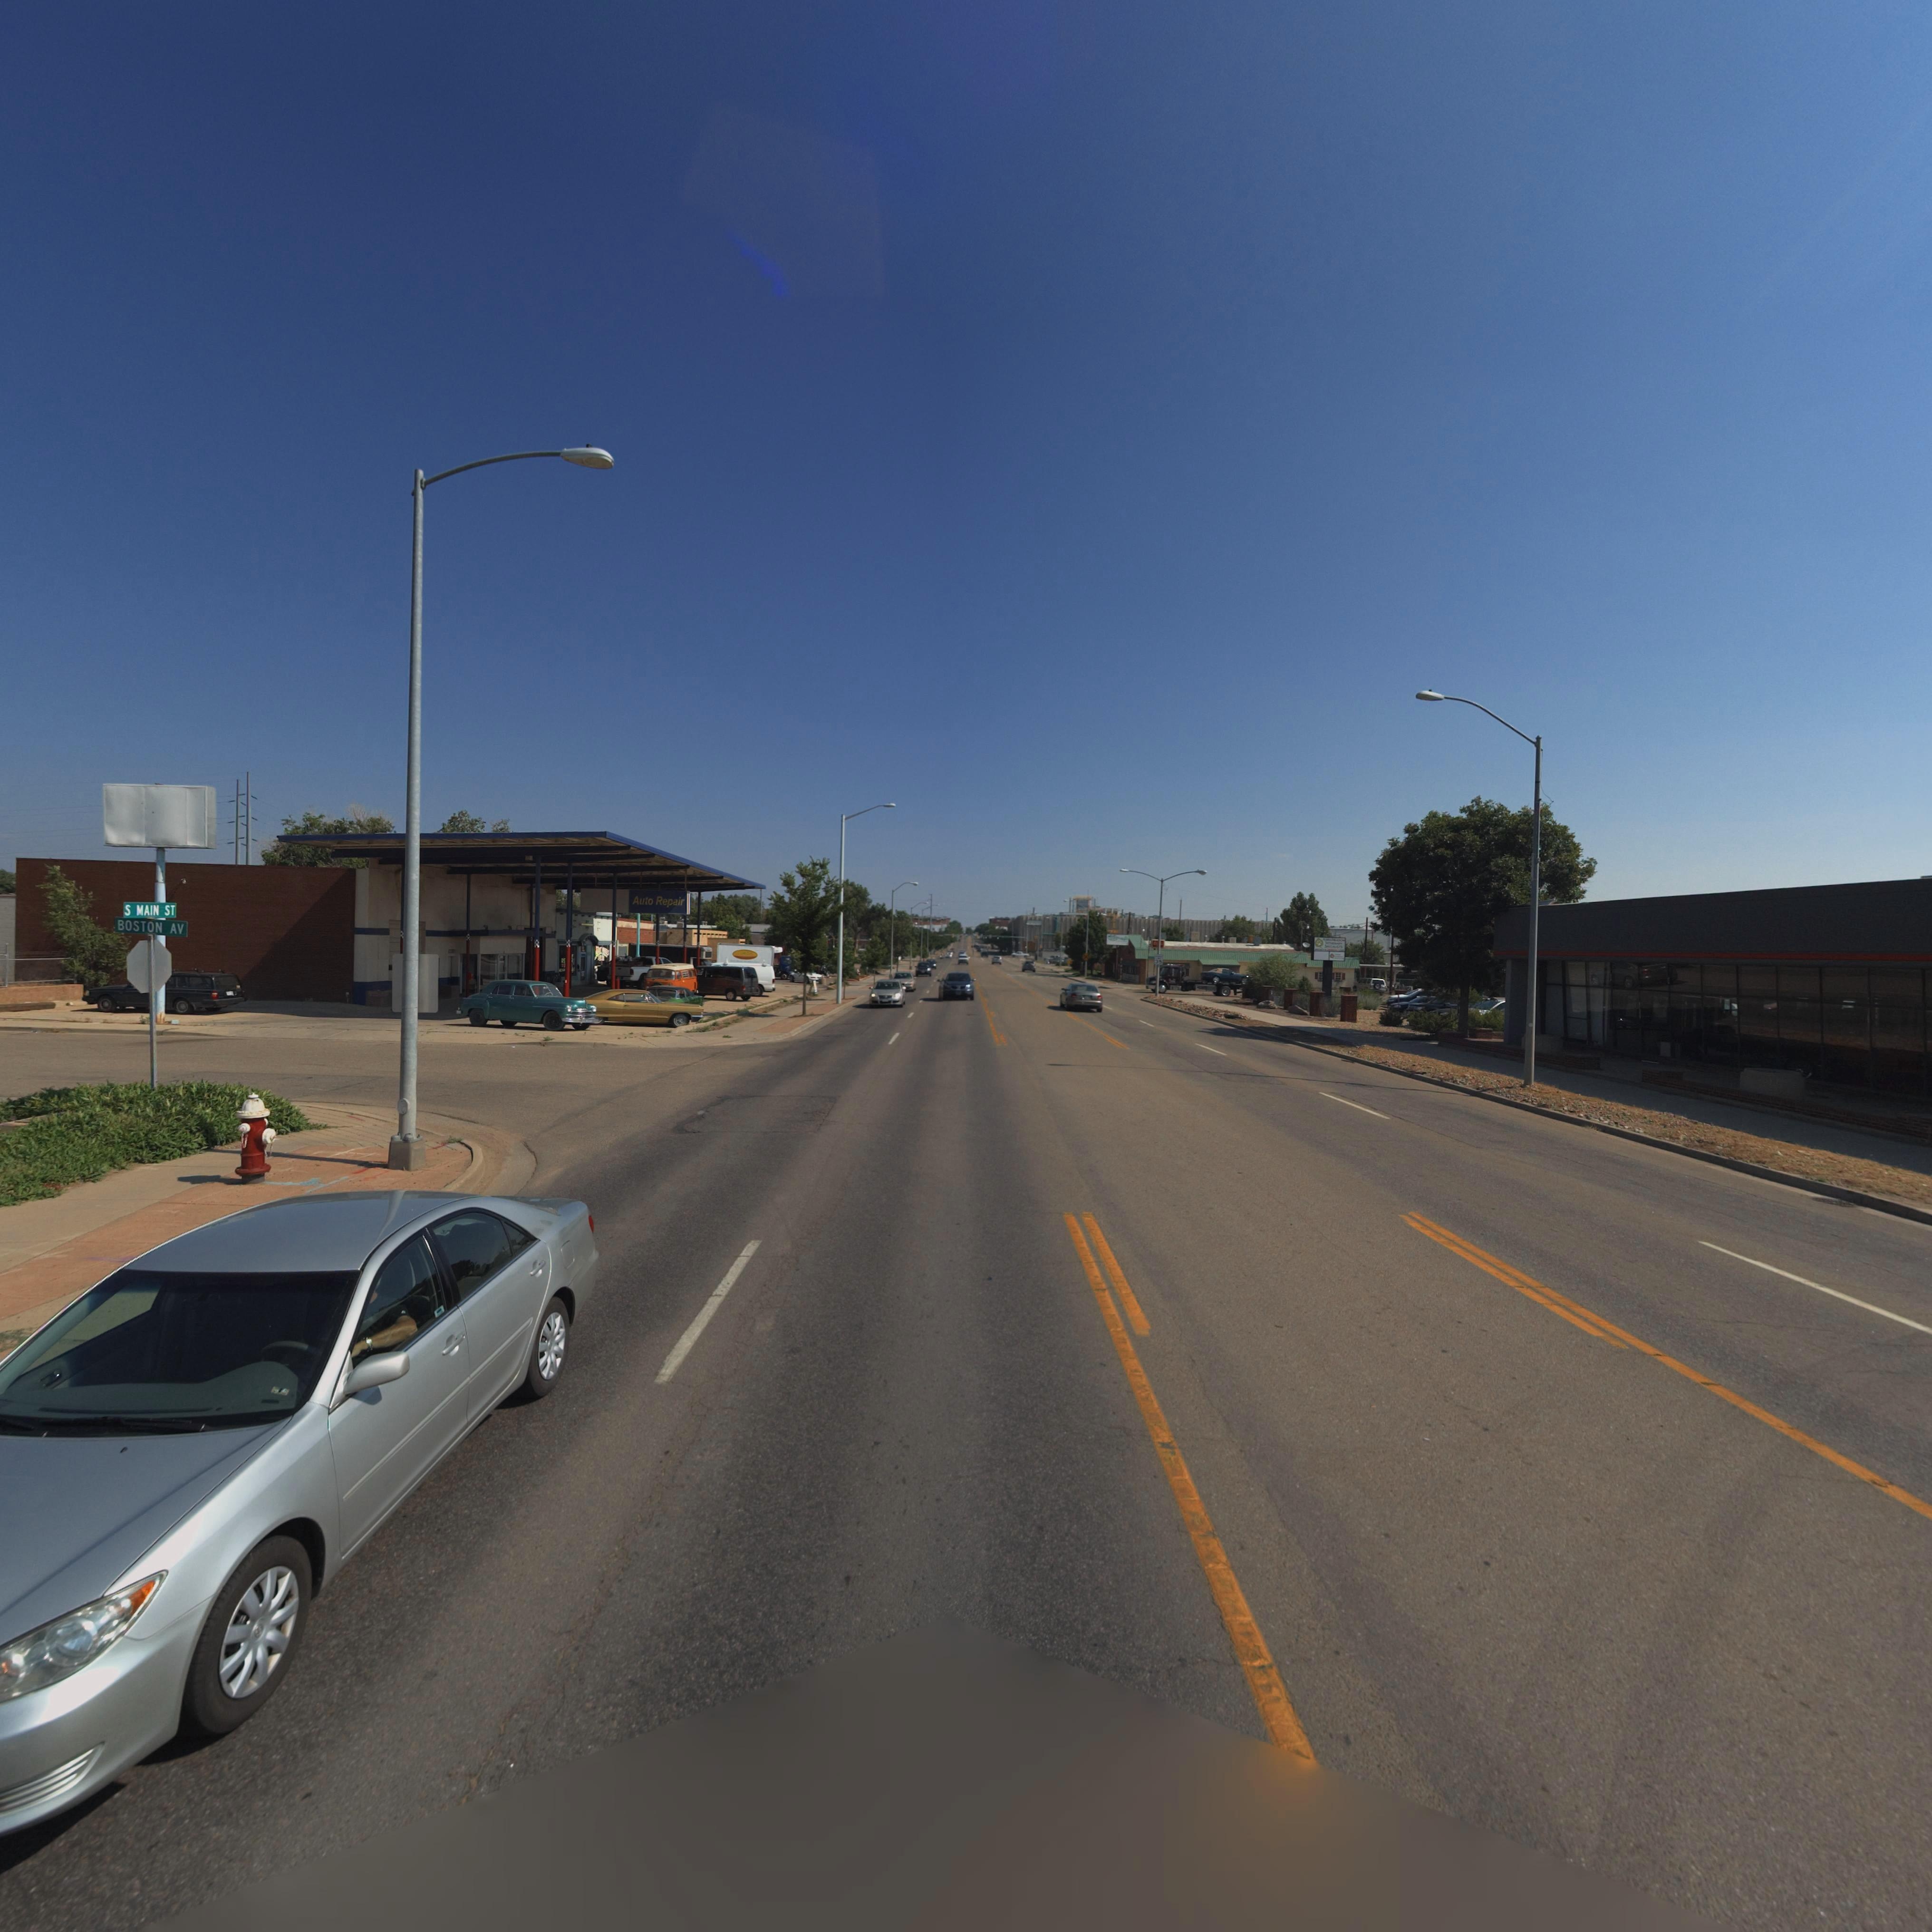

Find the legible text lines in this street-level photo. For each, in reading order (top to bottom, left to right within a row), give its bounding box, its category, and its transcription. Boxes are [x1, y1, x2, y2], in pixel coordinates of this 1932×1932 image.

[632, 895, 685, 908] BusinessName: Auto Repair
[124, 904, 175, 916] StreetName: S MAIN ST
[117, 919, 184, 934] StreetName: BOSTON AV